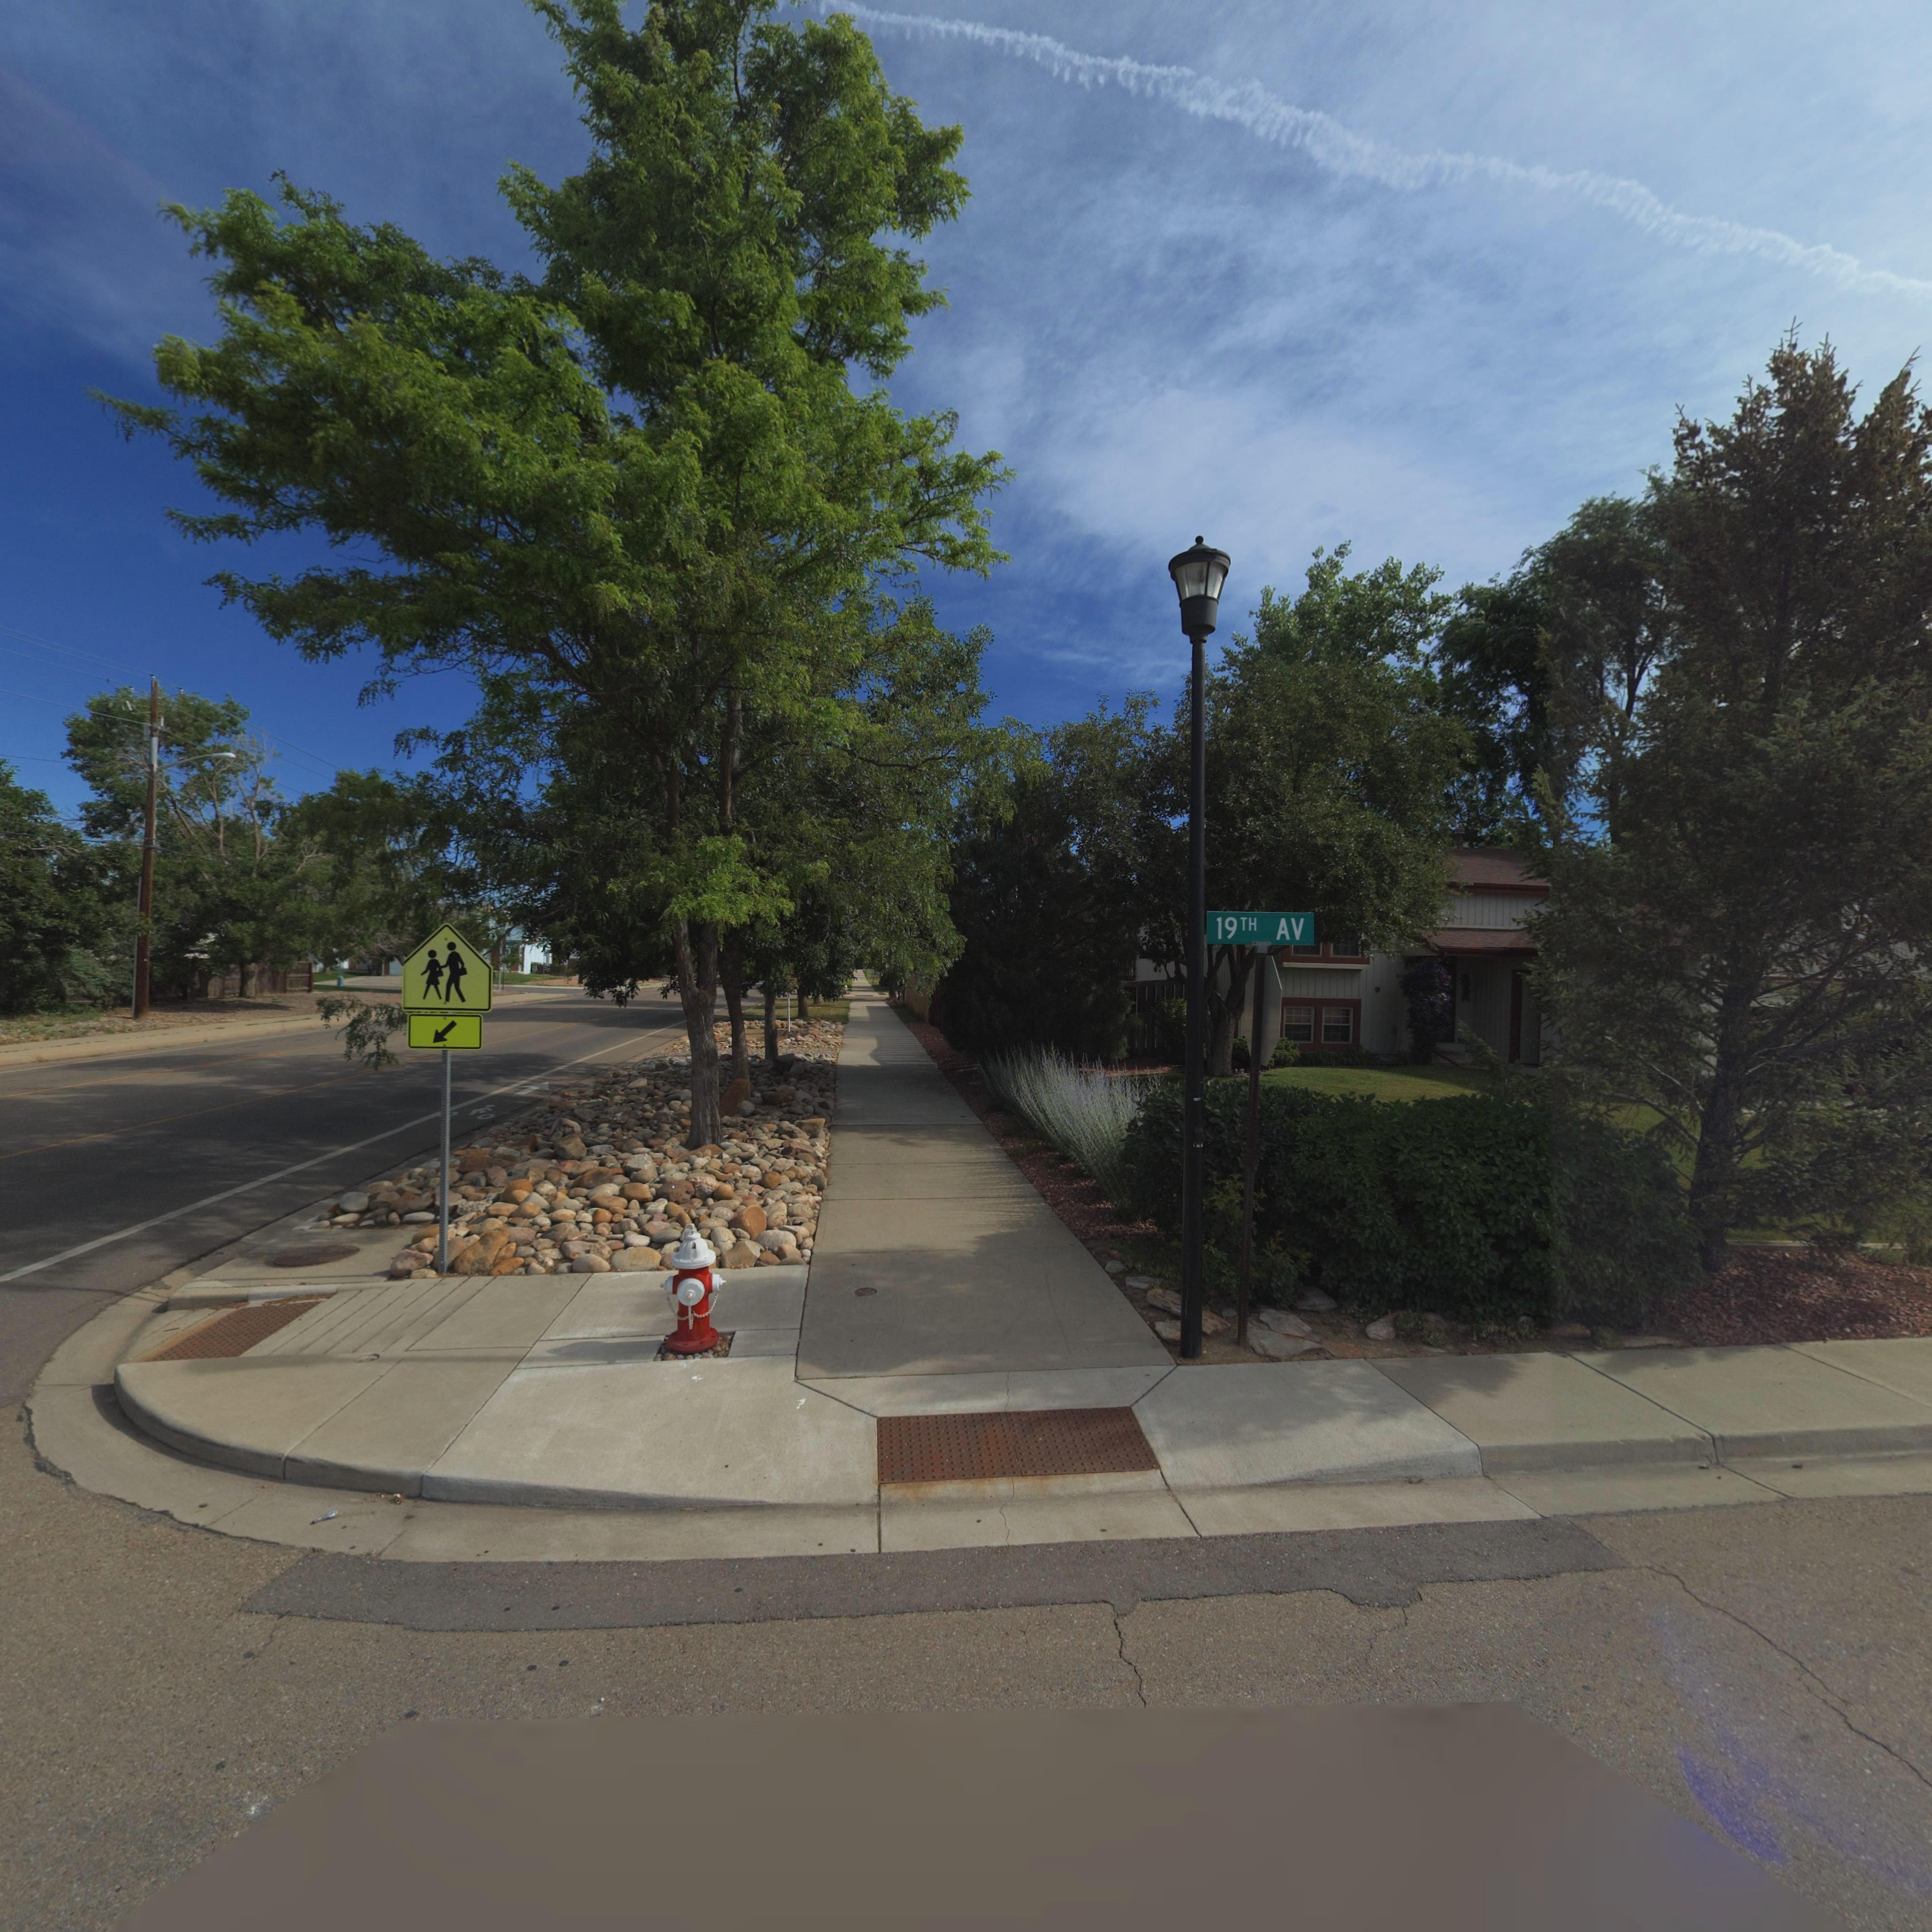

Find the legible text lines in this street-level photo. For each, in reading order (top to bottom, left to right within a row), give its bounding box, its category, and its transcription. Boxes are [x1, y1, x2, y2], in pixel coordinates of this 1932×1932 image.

[1215, 916, 1304, 941] StreetName: 19TH AV